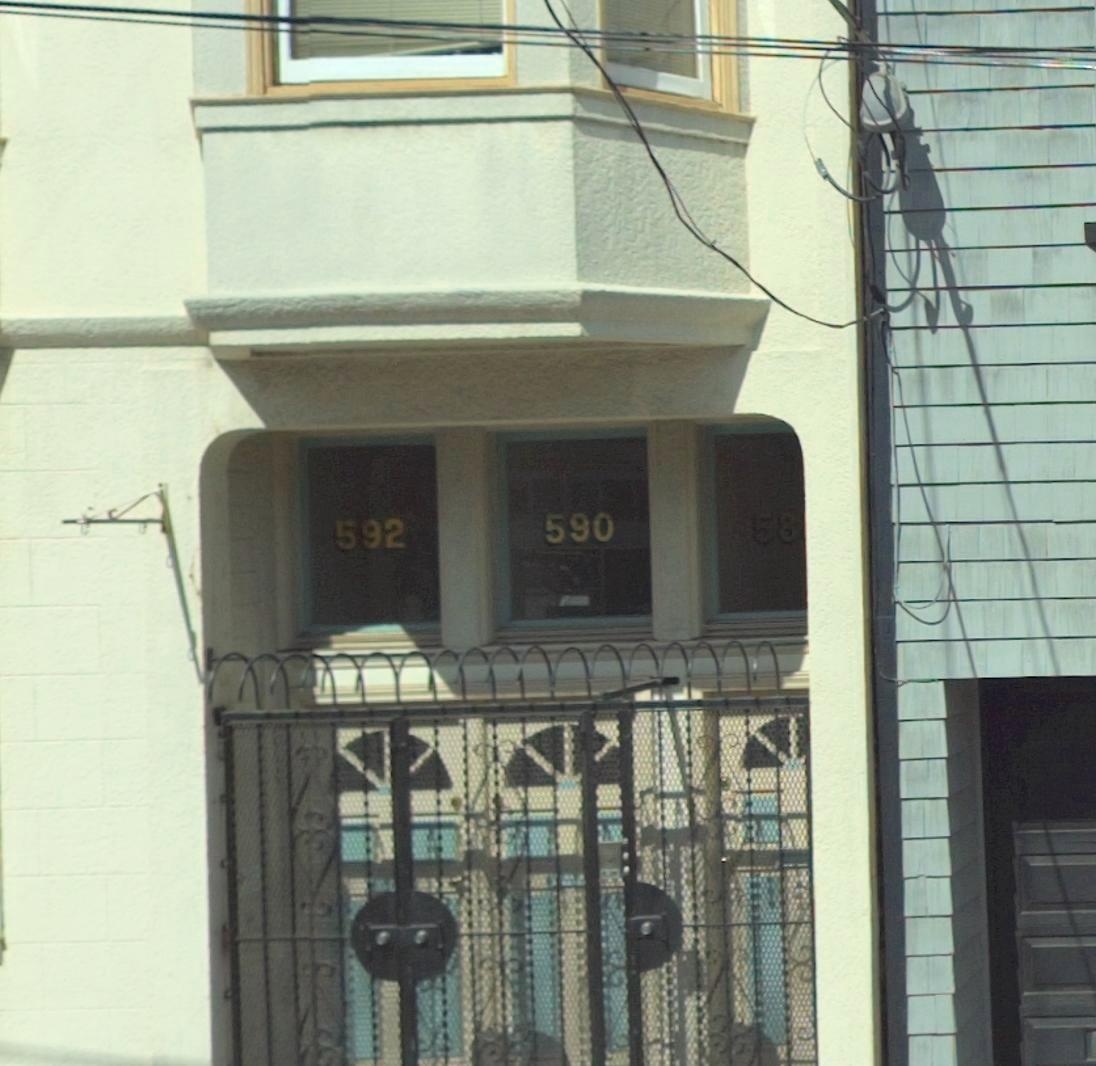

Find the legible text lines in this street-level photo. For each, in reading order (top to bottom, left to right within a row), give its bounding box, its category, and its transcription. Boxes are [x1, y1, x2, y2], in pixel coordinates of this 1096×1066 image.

[334, 516, 410, 554] StreetNumber: 592
[542, 509, 621, 548] StreetNumber: 590
[750, 509, 802, 548] StreetNumber: 58